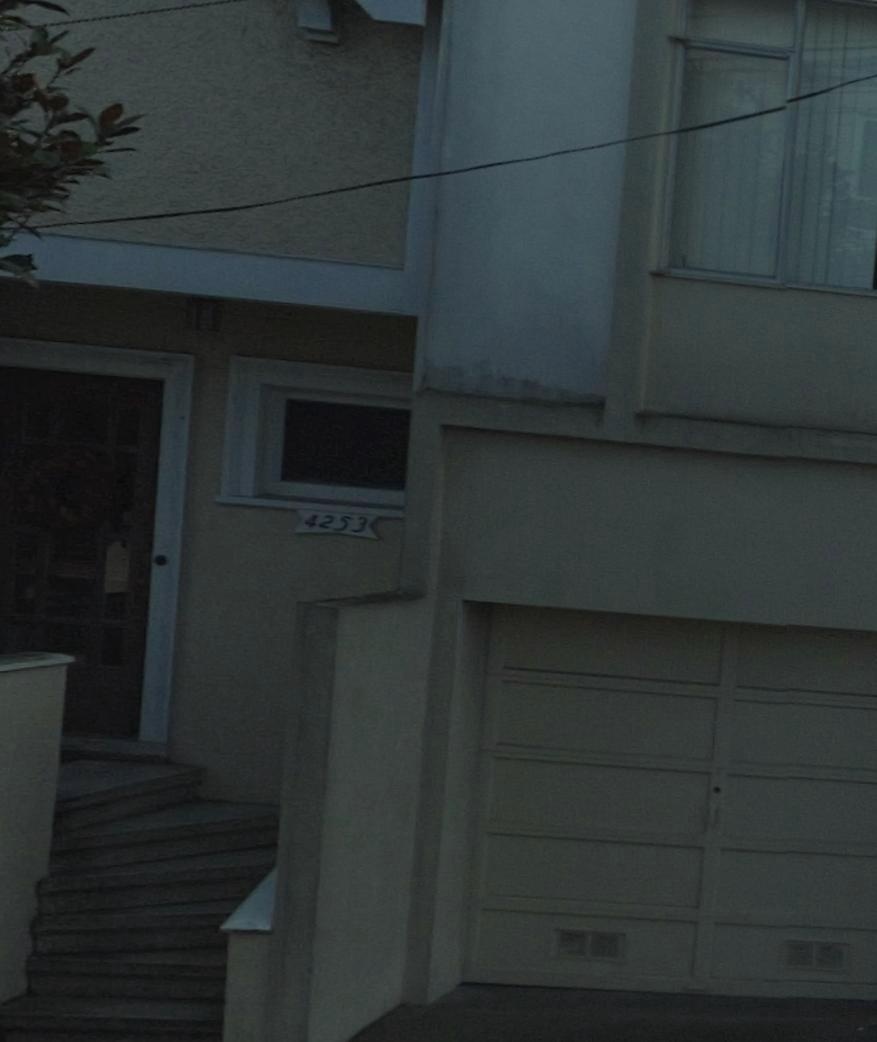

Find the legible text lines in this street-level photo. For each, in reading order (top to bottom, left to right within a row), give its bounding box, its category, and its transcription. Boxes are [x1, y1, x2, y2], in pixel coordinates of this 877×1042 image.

[304, 513, 369, 534] StreetNumber: 4253